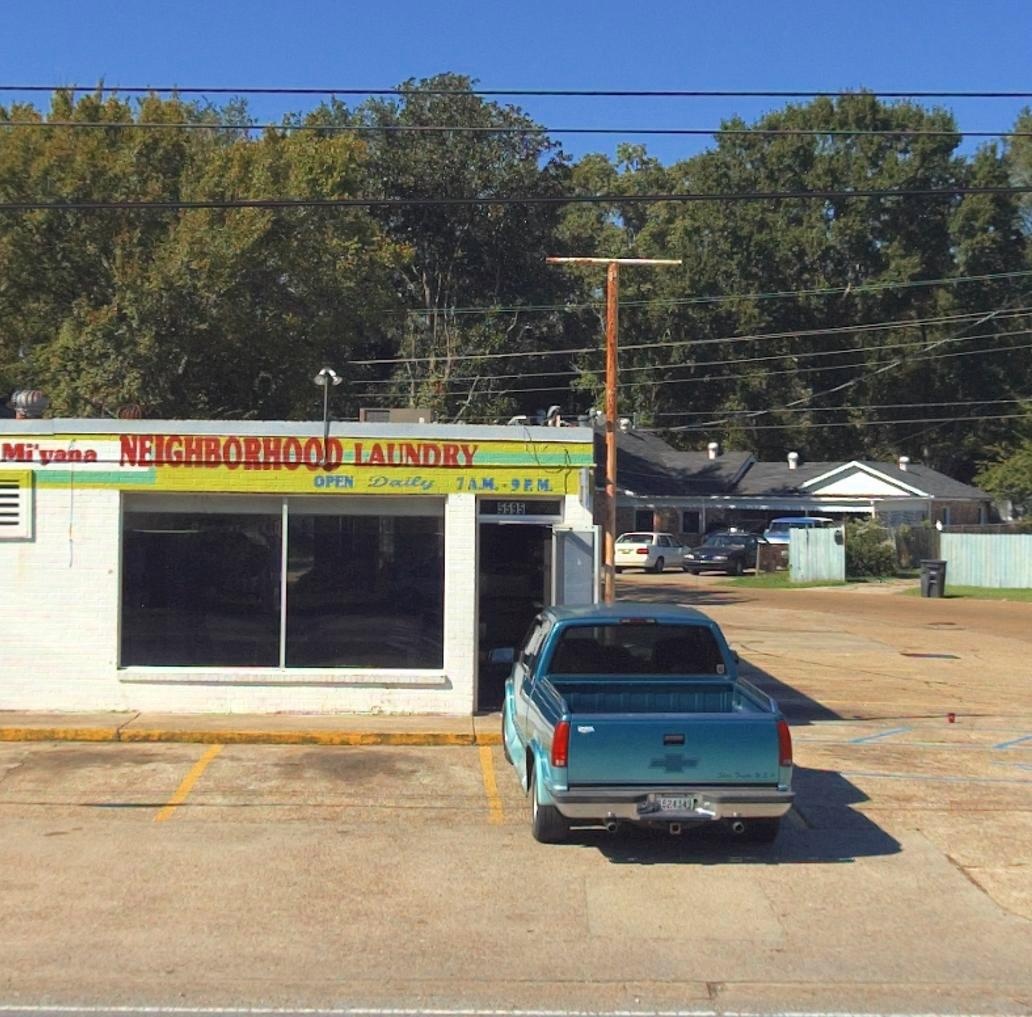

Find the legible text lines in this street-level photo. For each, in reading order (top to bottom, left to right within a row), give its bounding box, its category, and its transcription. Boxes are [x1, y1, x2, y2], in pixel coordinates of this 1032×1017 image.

[0, 432, 480, 474] None: Mi'yana NEIGHBORHOOD LAUNDRY
[312, 473, 555, 493] None: OPEN Daily 7 A.M. - 9 P.M.
[497, 501, 525, 515] StreetNumber: 5595
[660, 798, 694, 810] None: *24349